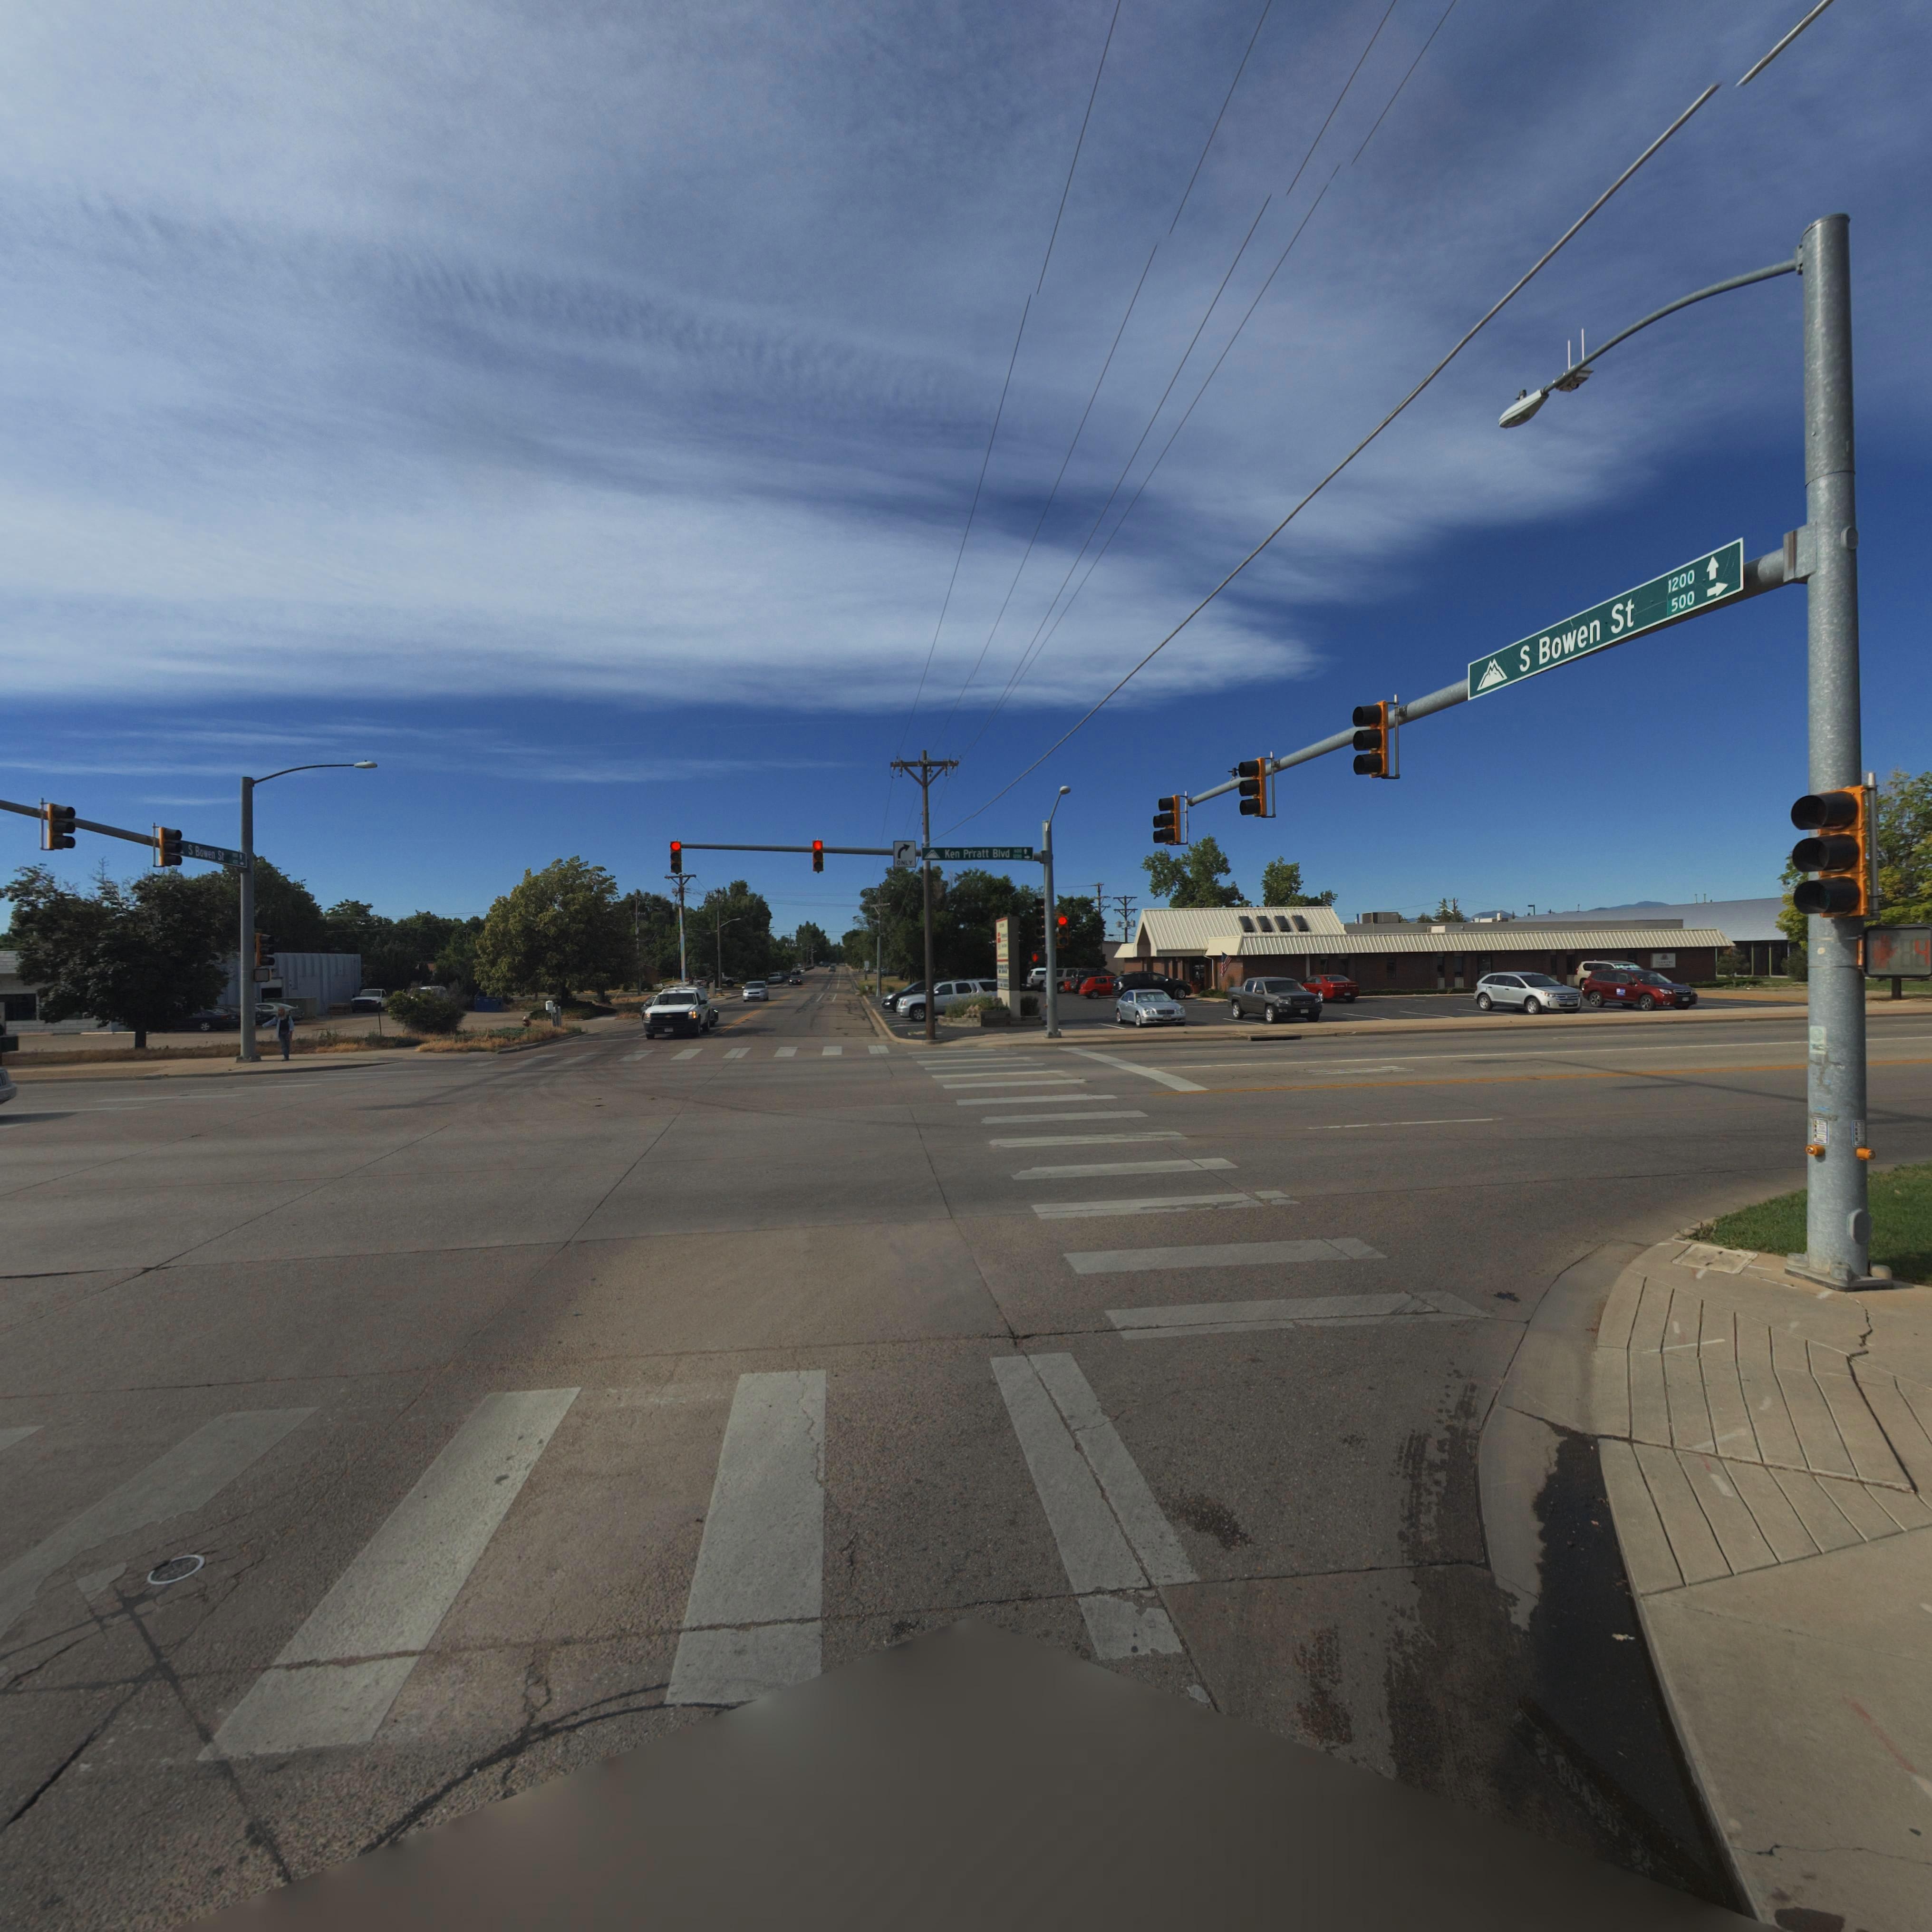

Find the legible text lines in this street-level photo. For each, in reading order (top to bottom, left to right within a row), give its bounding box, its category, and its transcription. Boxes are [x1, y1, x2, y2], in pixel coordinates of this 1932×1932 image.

[1667, 569, 1695, 594] StreetNumberRange: 1200
[1671, 581, 1729, 612] StreetNumberRange: 500->
[1518, 597, 1635, 673] StreetName: S Bowen St
[187, 844, 224, 860] StreetName: S Bo*en St
[944, 848, 1010, 858] StreetName: Ken Prratt Blvd
[1014, 848, 1022, 853] StreetNumberRange: 600
[1013, 854, 1031, 859] StreetNumberRange: 1200->